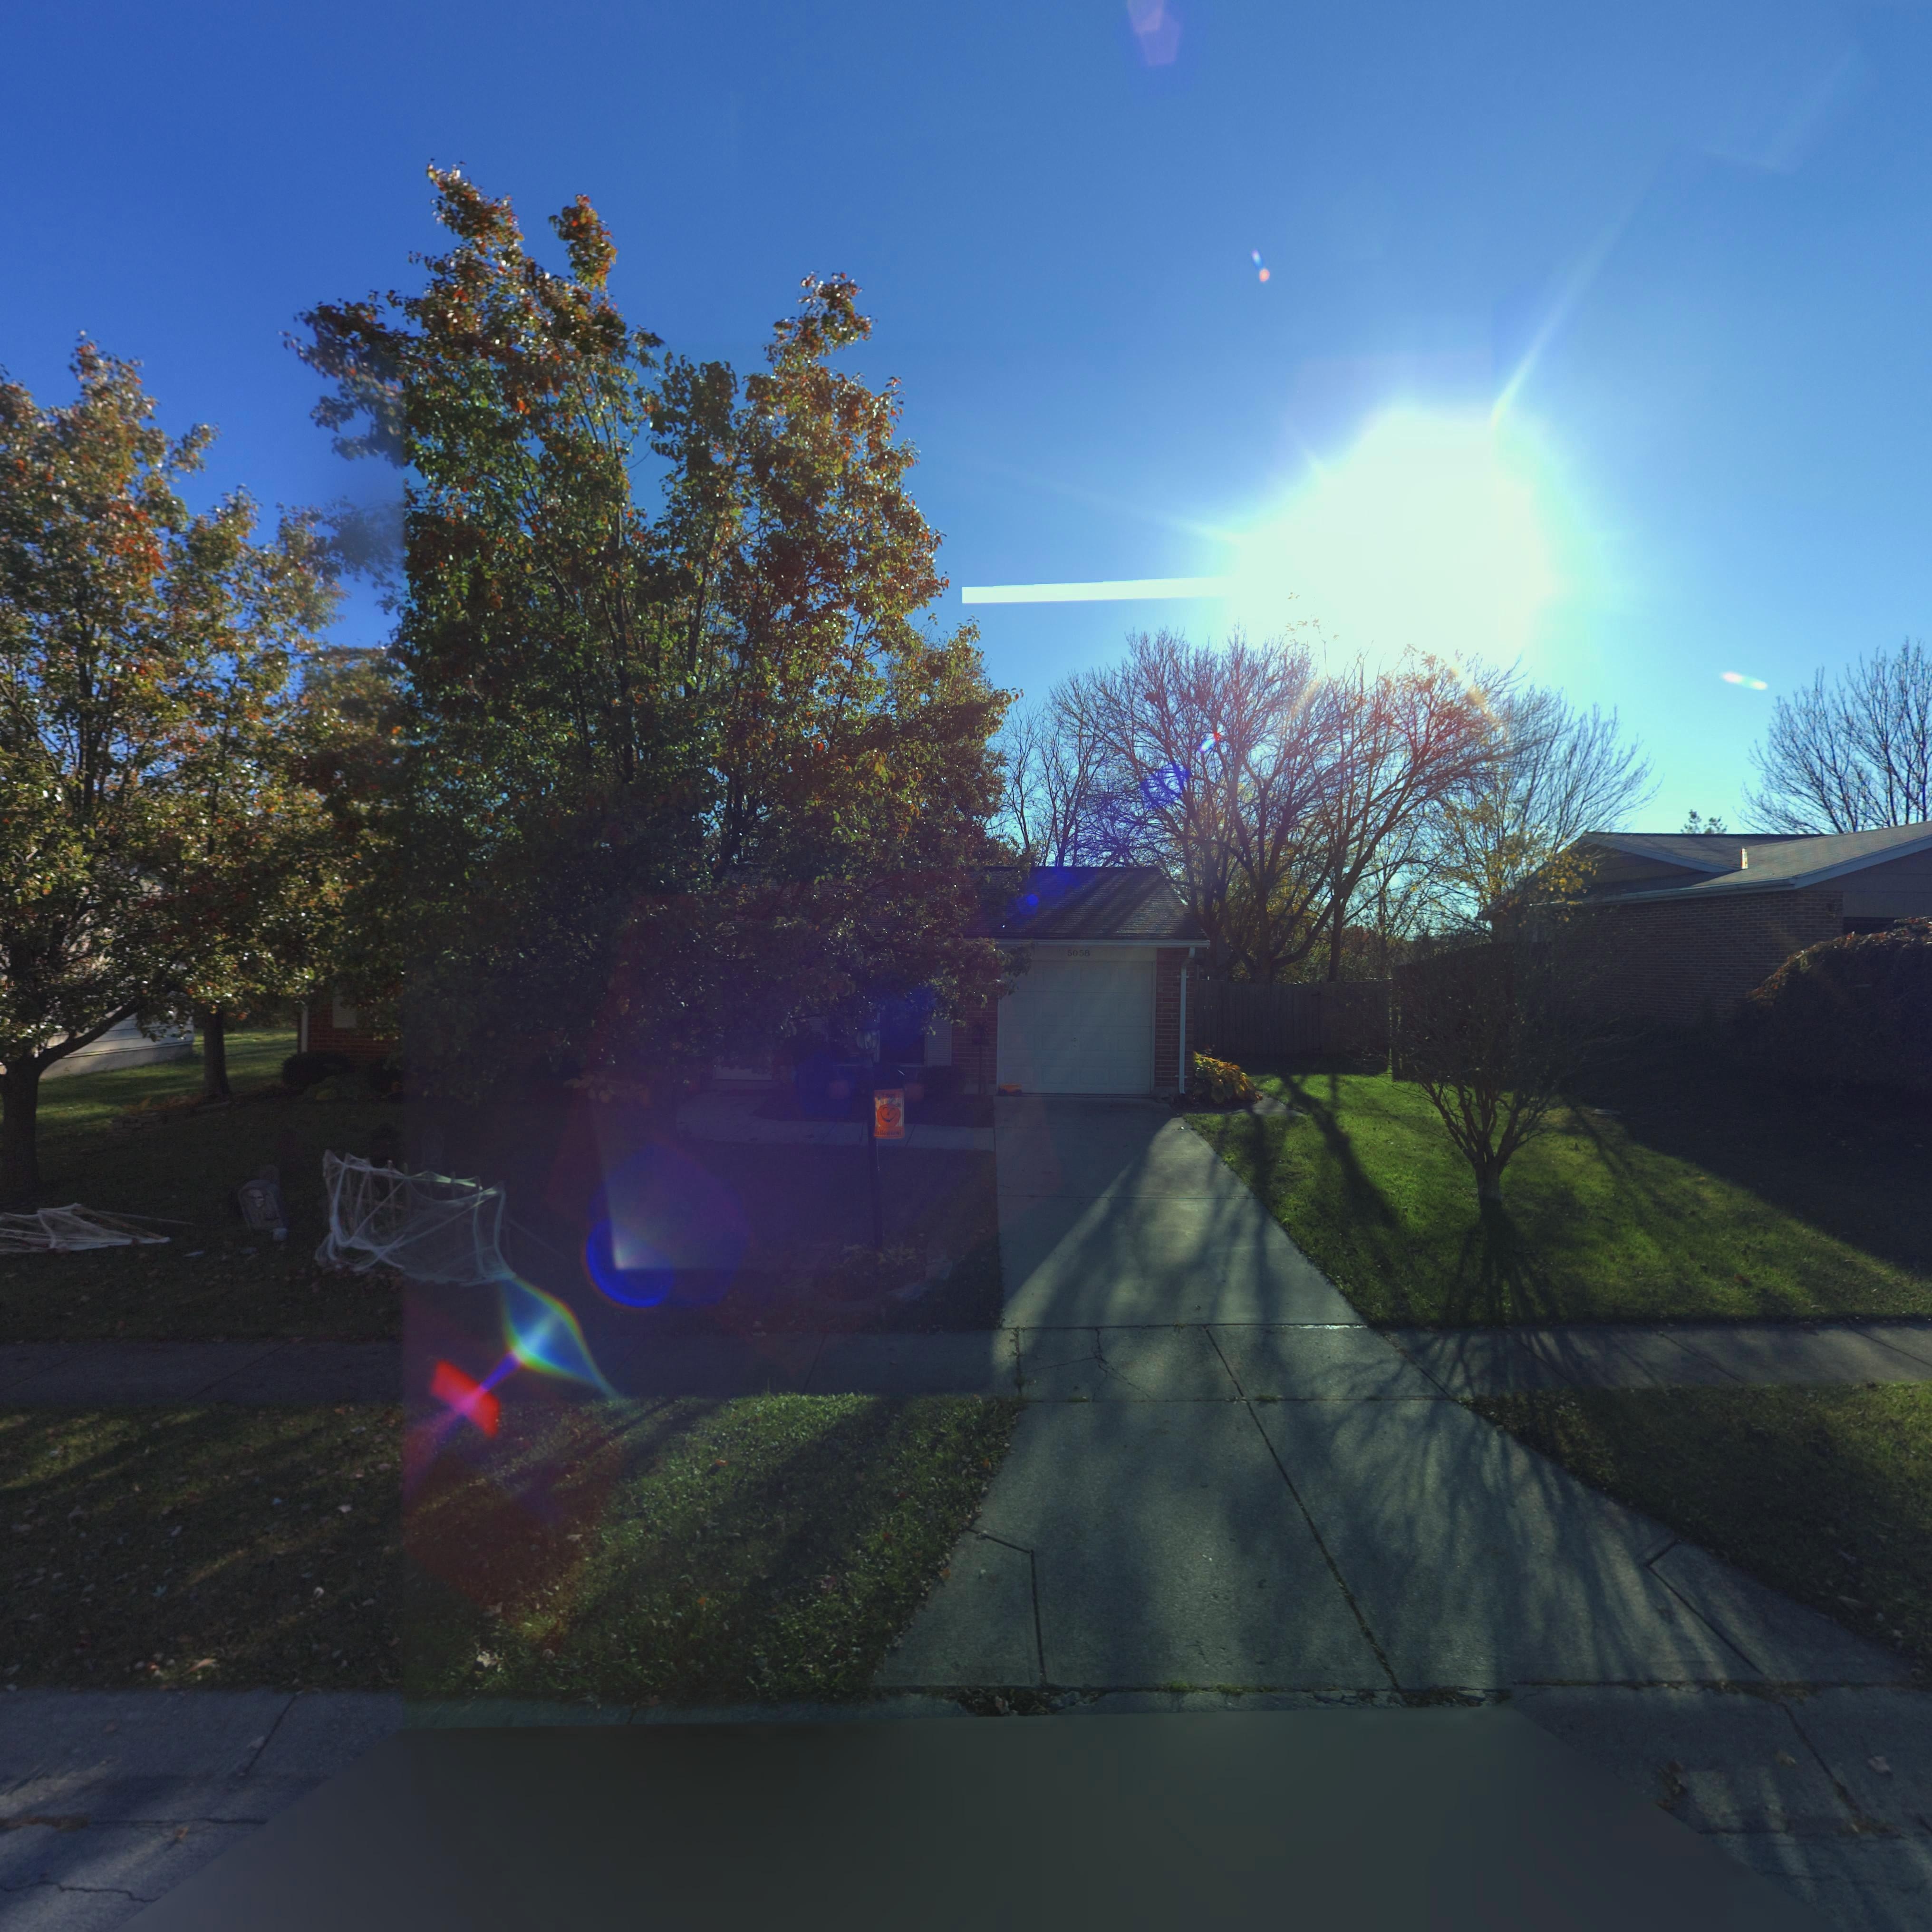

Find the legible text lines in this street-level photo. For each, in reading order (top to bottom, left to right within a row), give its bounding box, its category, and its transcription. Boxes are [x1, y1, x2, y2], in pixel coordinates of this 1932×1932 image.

[1067, 949, 1090, 957] StreetNumber: 5058